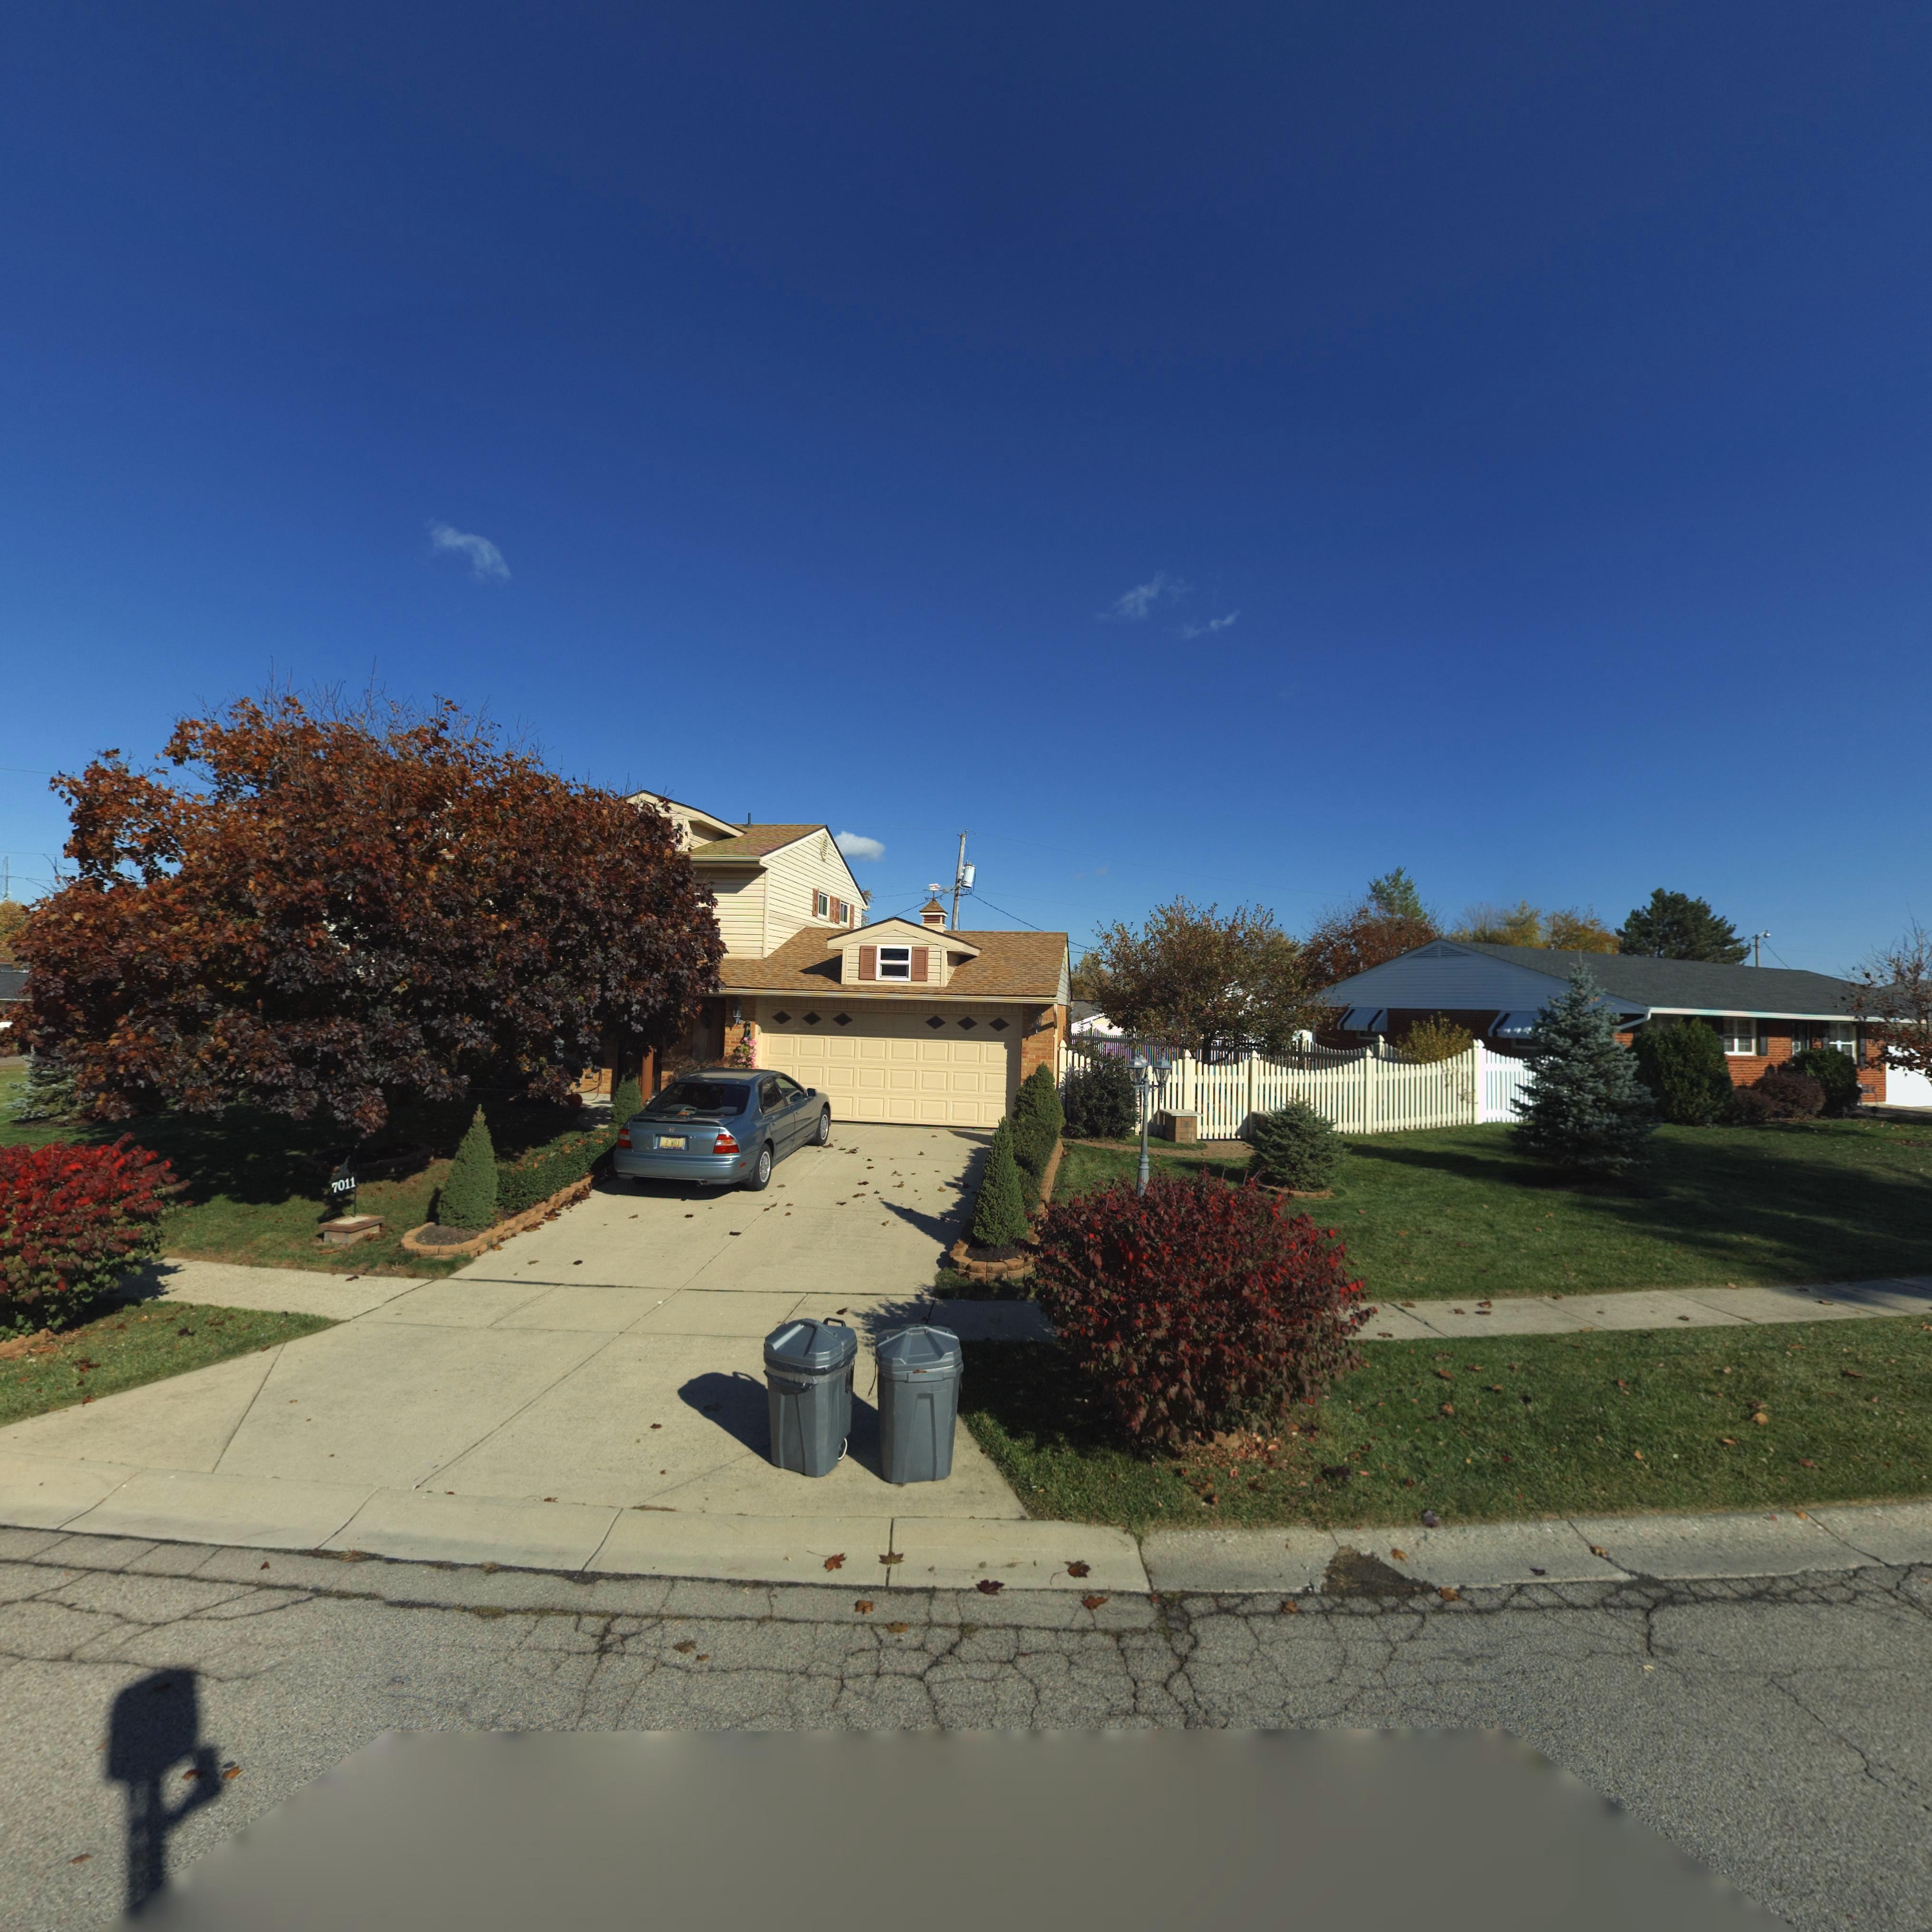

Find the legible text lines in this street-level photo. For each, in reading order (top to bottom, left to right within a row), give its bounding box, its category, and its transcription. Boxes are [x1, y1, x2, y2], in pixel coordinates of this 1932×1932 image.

[331, 1175, 357, 1195] StreetNumber: 7011